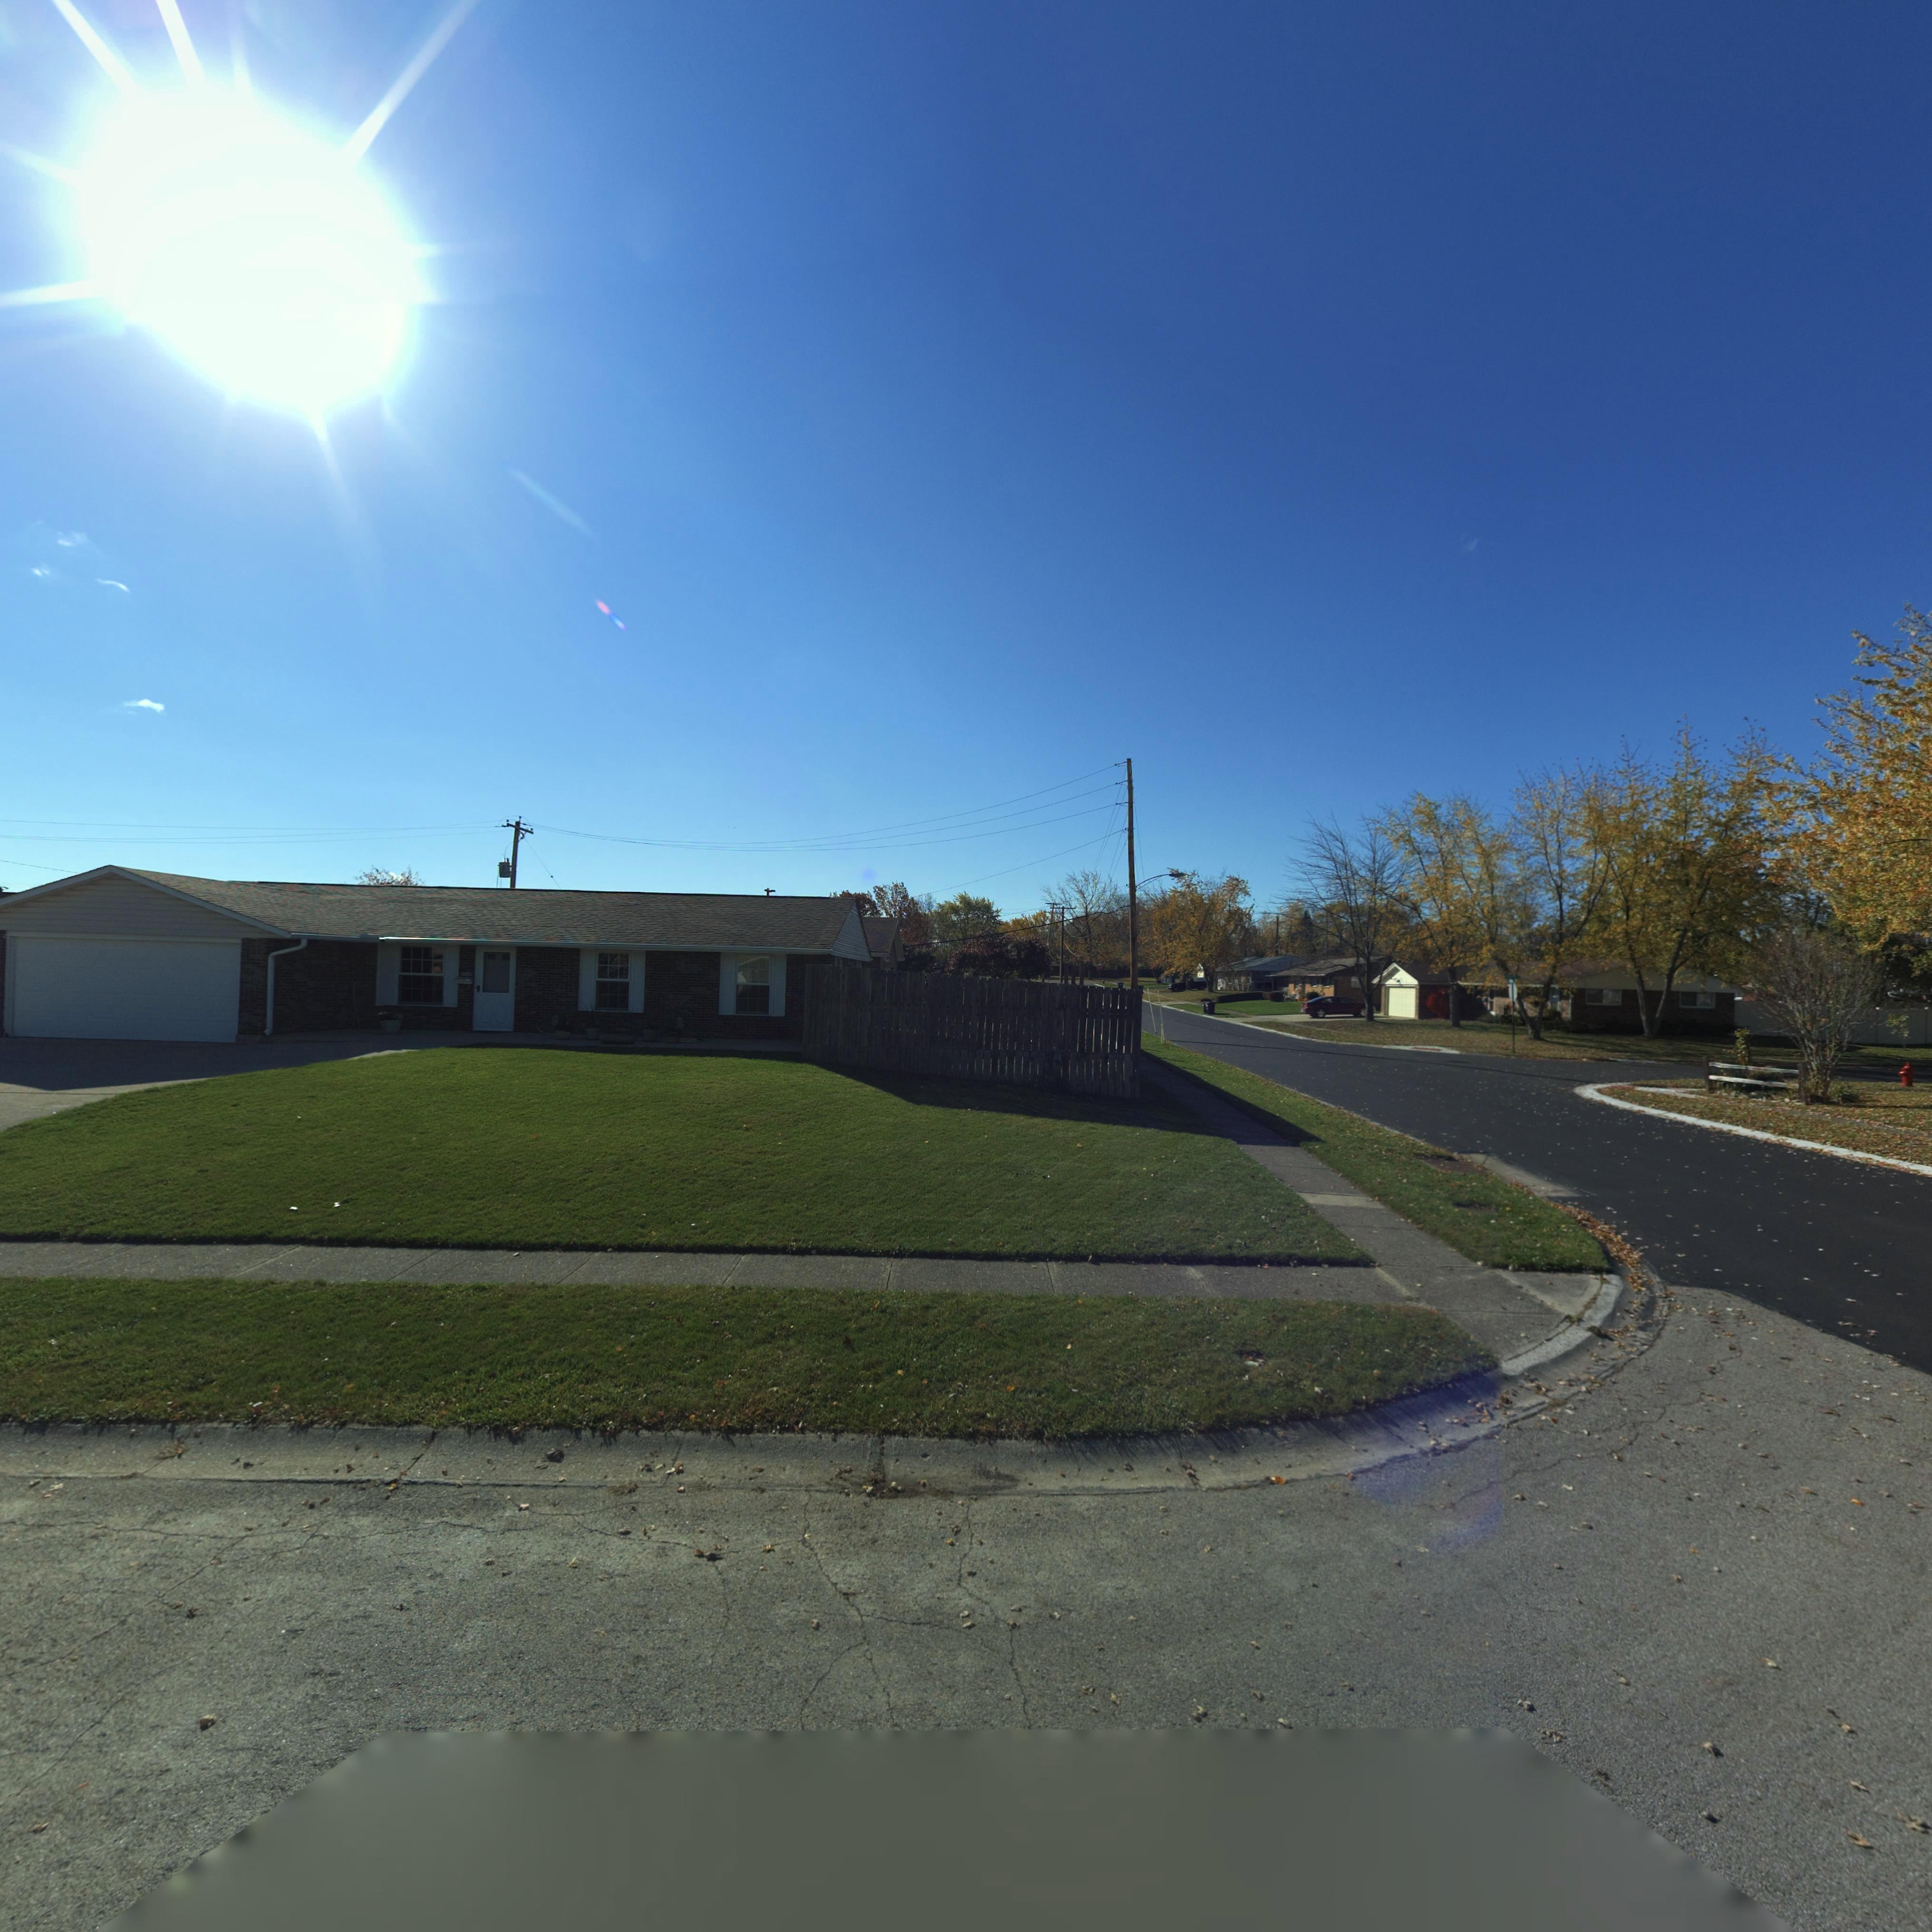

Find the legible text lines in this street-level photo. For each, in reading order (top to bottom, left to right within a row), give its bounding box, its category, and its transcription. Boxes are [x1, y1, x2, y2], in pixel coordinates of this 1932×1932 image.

[460, 971, 464, 976] StreetNumber: 7